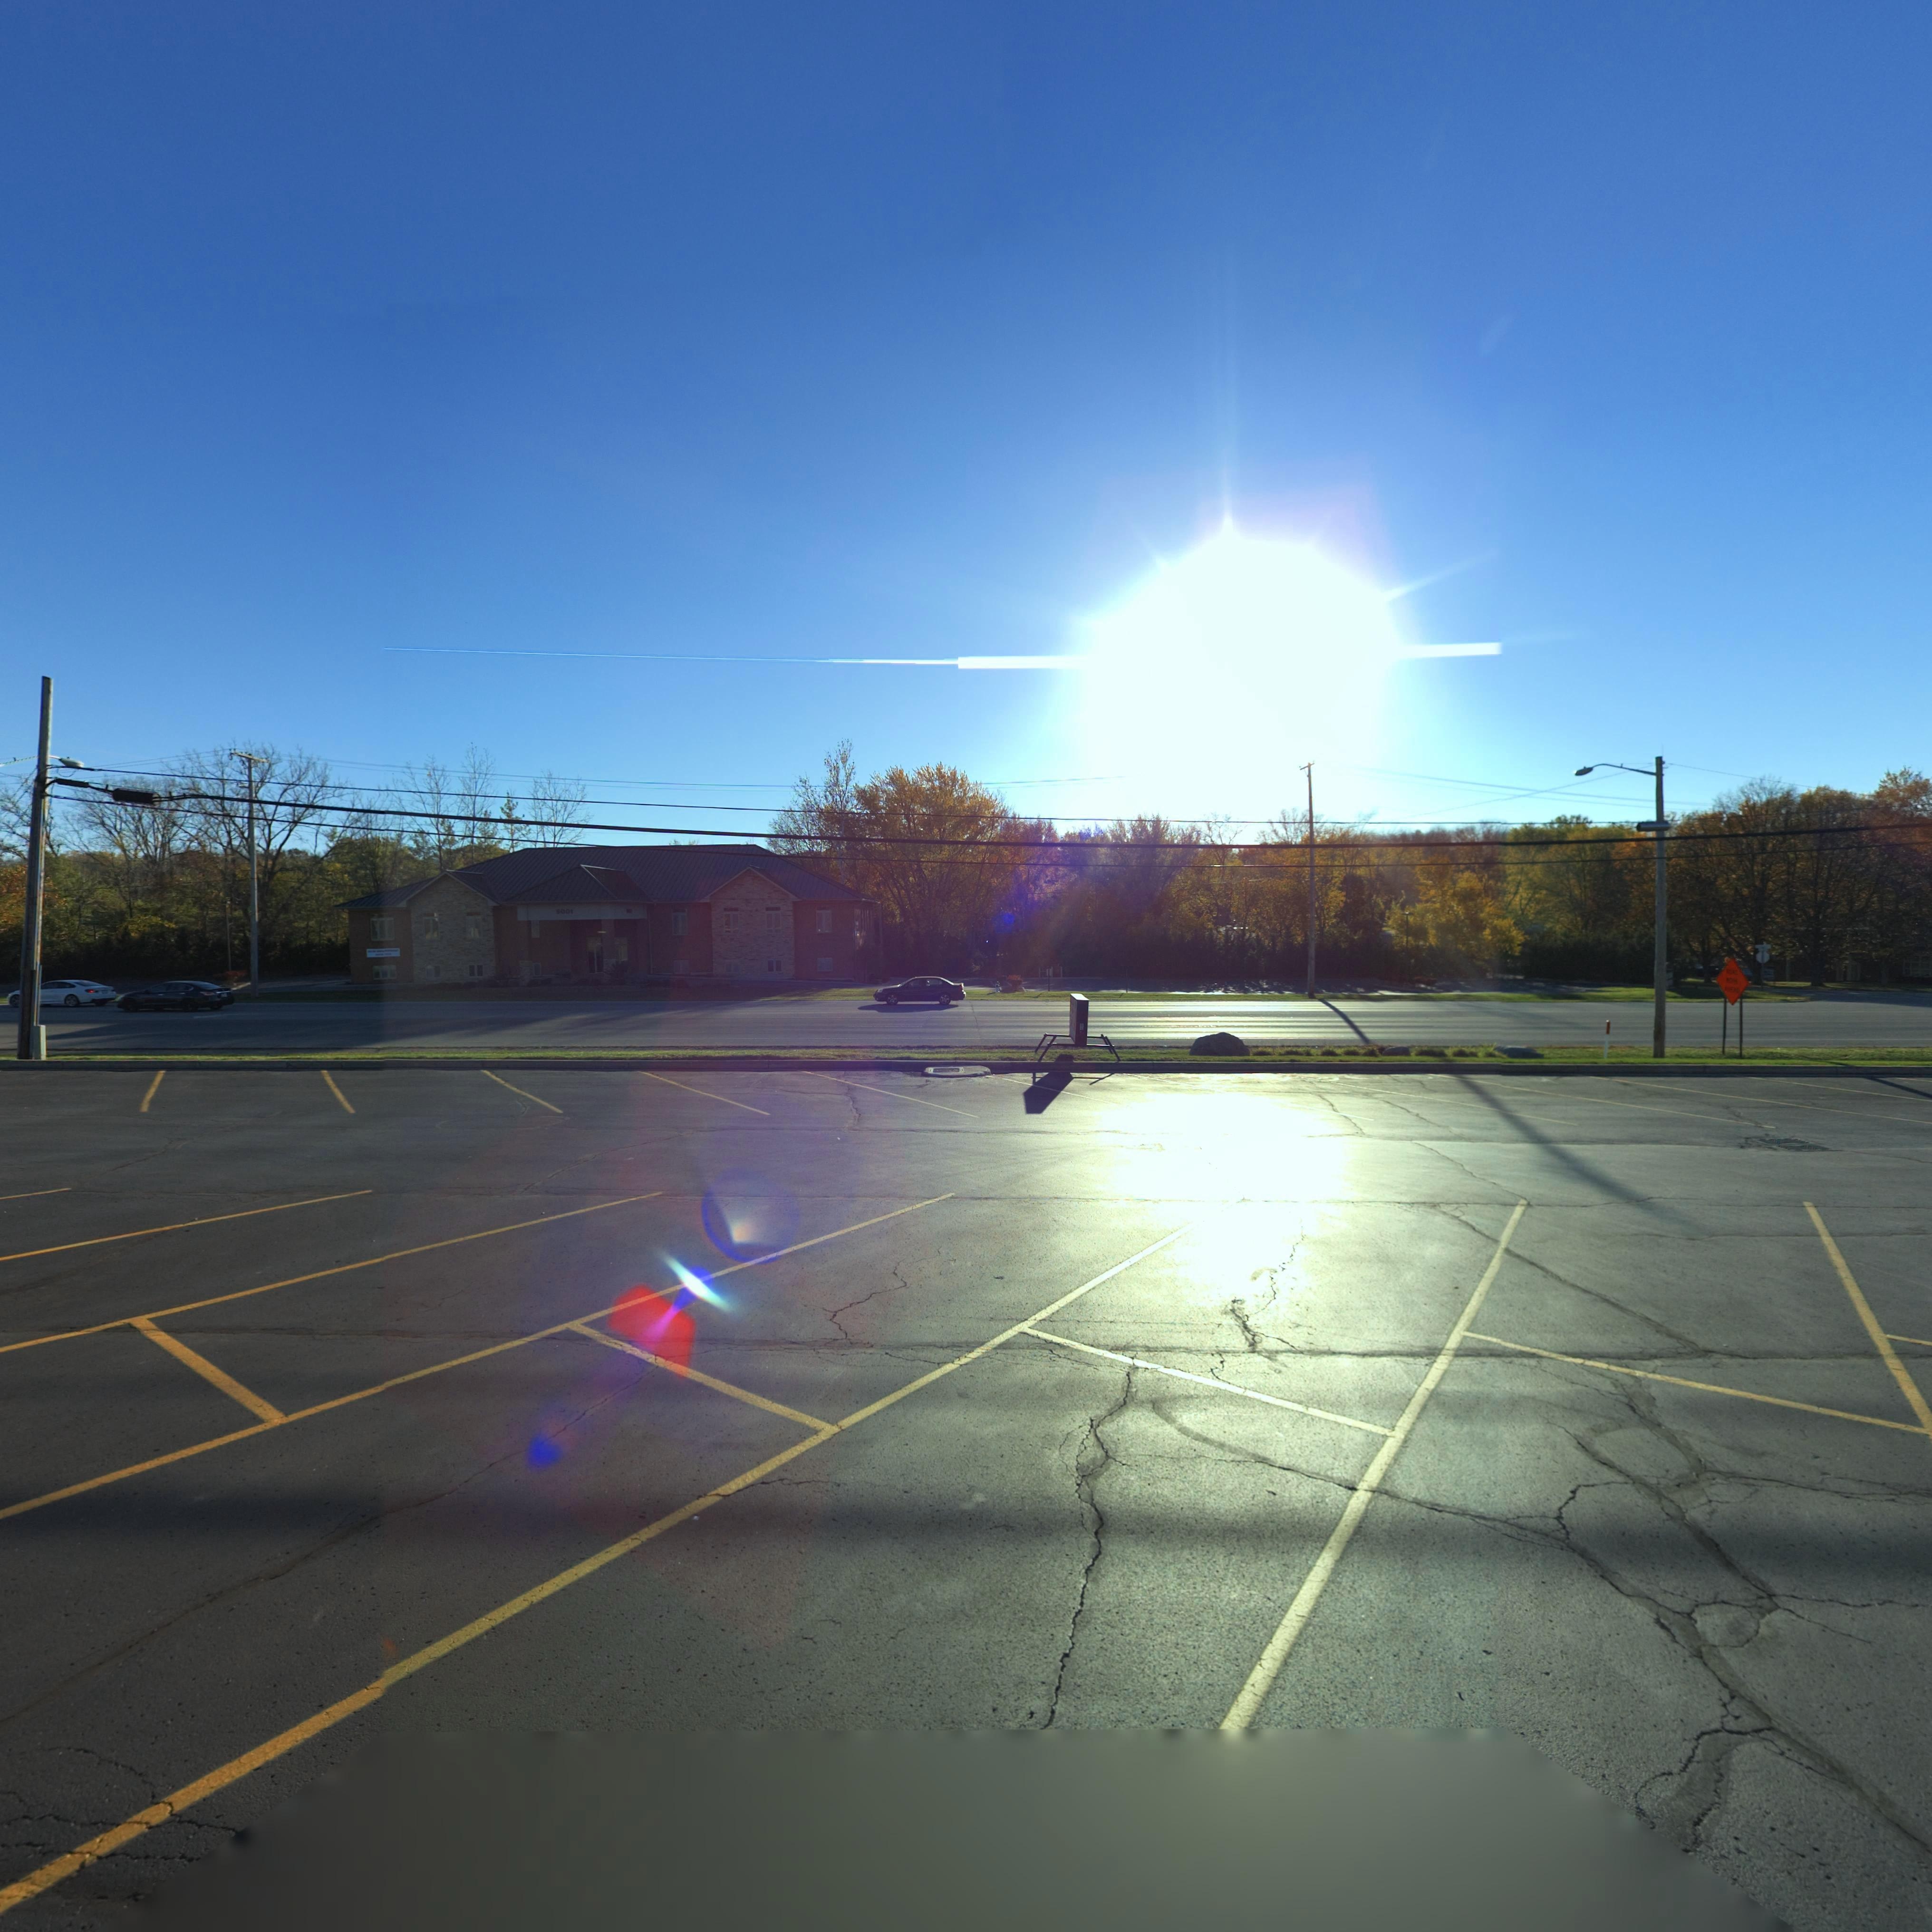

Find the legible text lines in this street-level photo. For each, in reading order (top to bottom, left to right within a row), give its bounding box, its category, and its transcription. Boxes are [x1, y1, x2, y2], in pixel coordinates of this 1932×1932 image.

[556, 908, 573, 915] StreetNumber: 9001